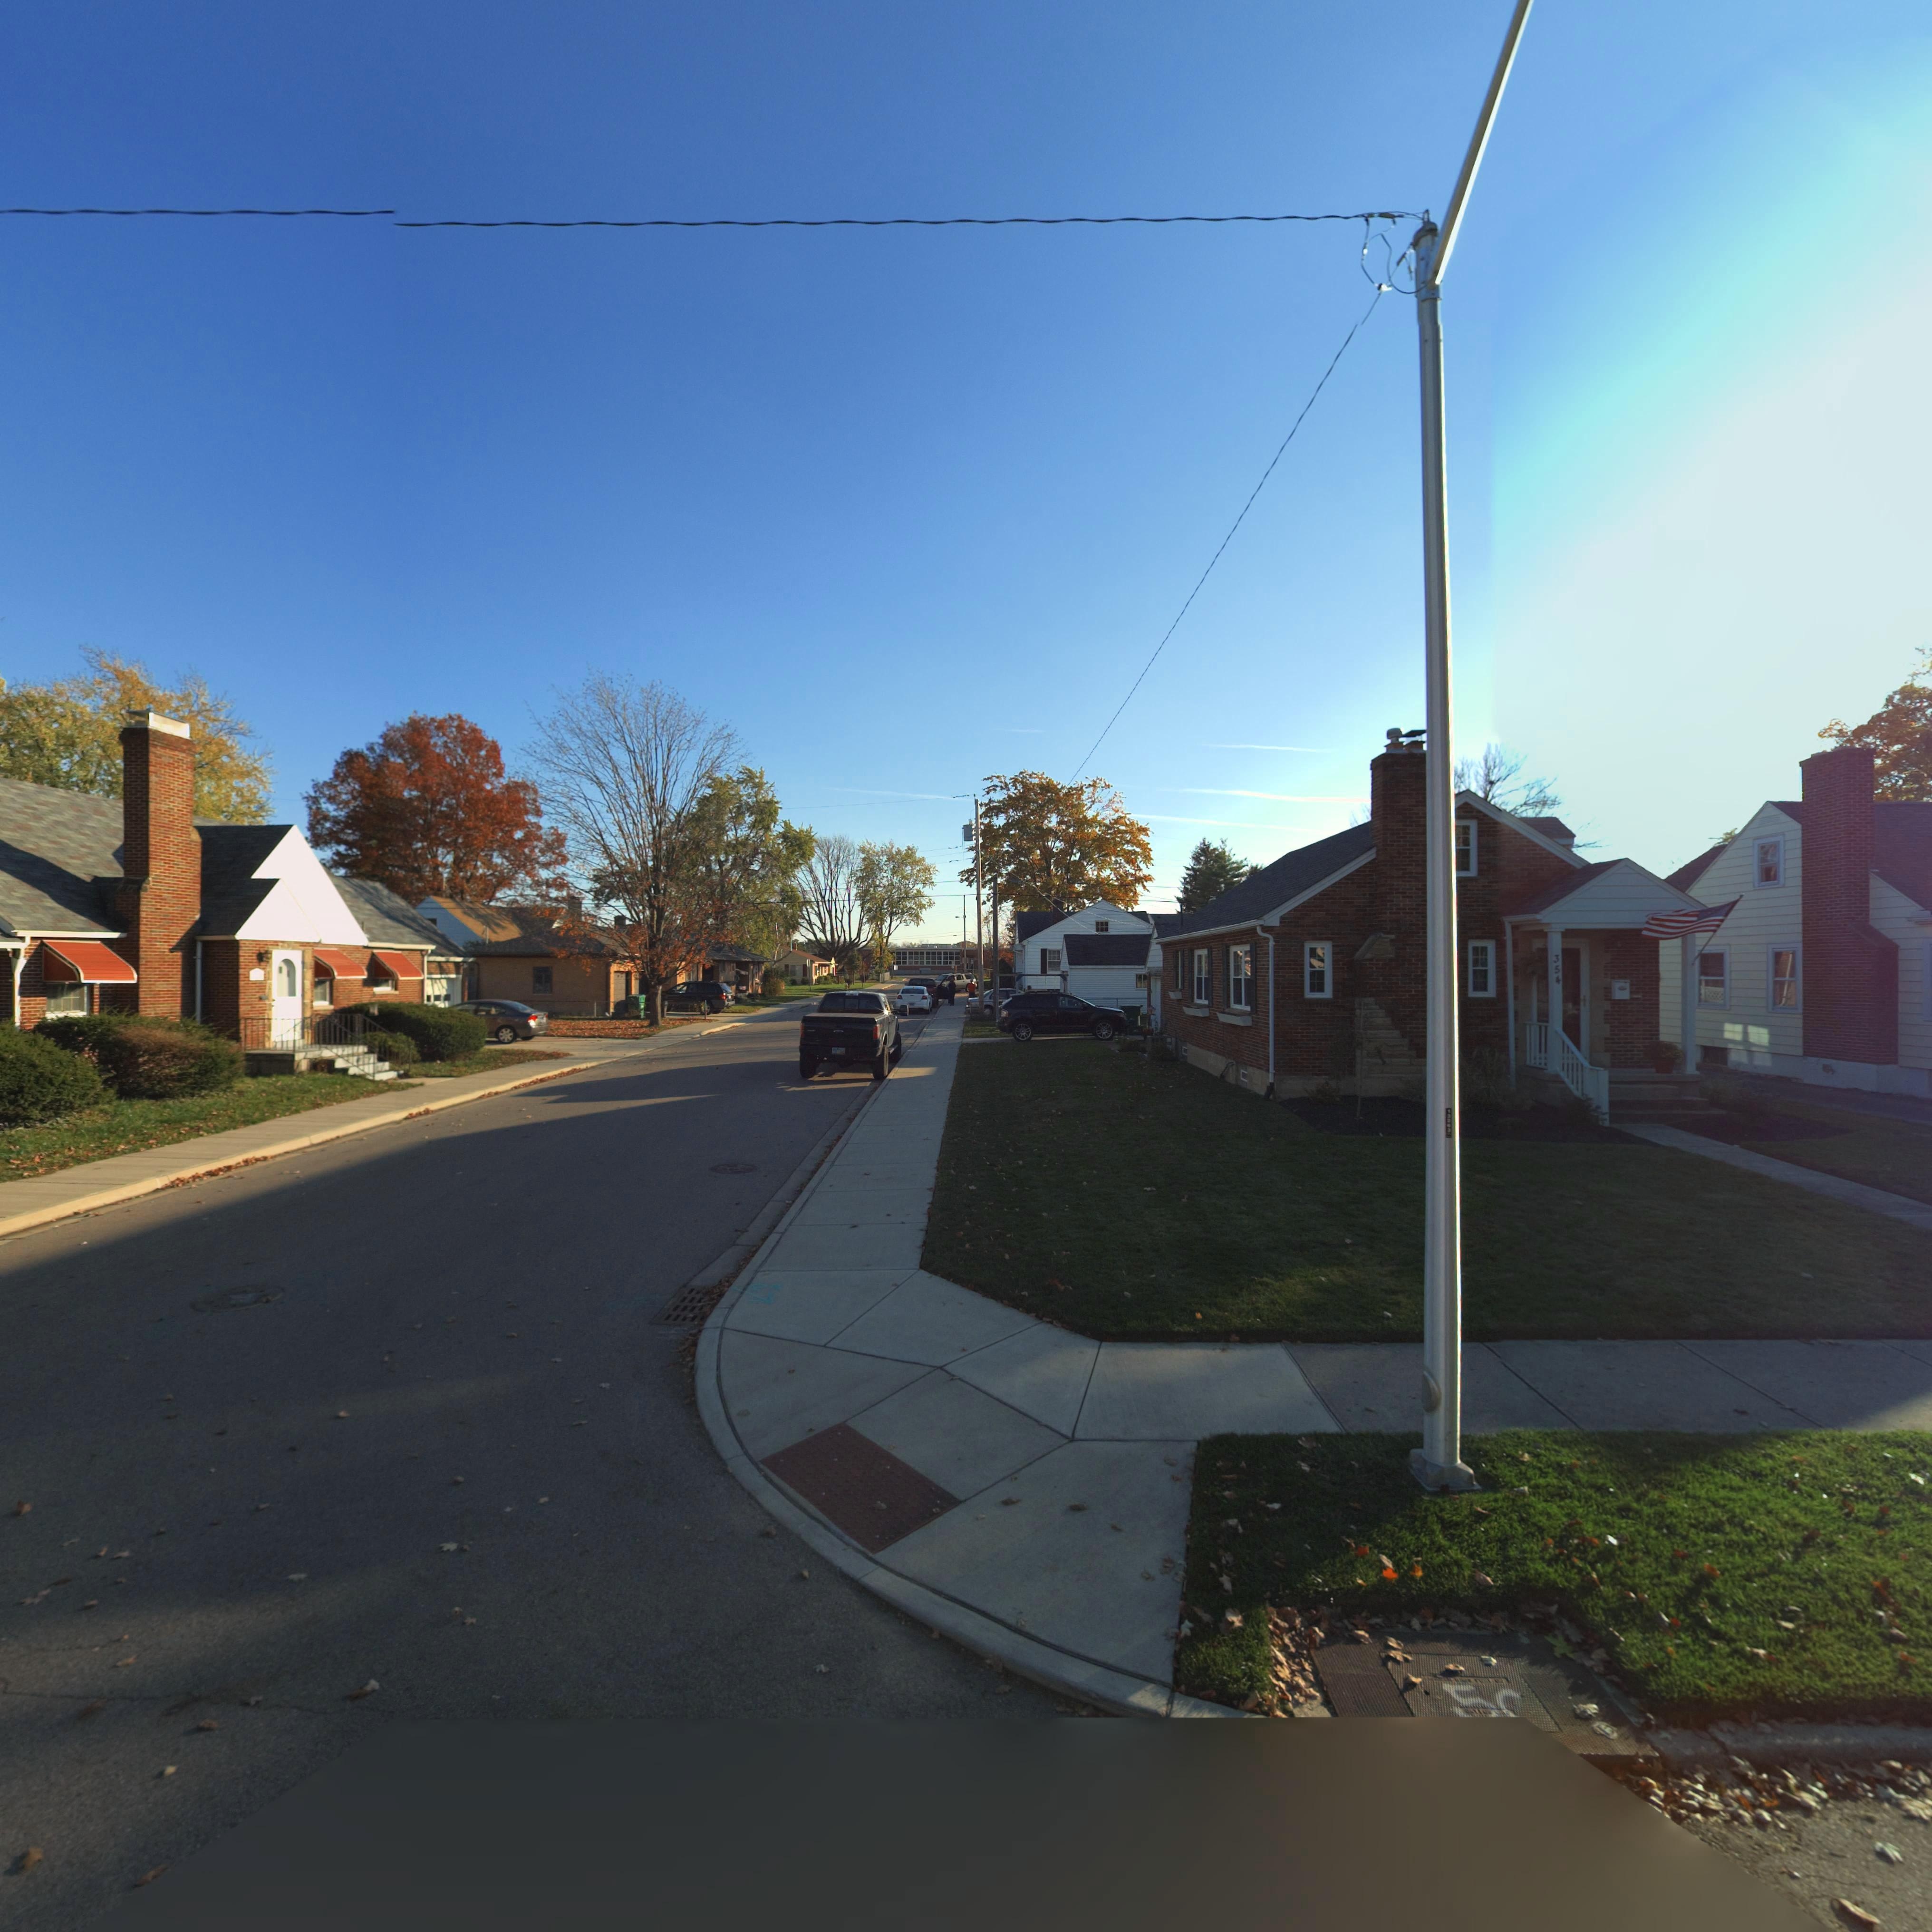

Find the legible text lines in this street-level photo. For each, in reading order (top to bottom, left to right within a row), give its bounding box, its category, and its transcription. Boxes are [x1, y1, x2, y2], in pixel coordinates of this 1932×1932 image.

[1551, 952, 1563, 986] StreetNumber: 354